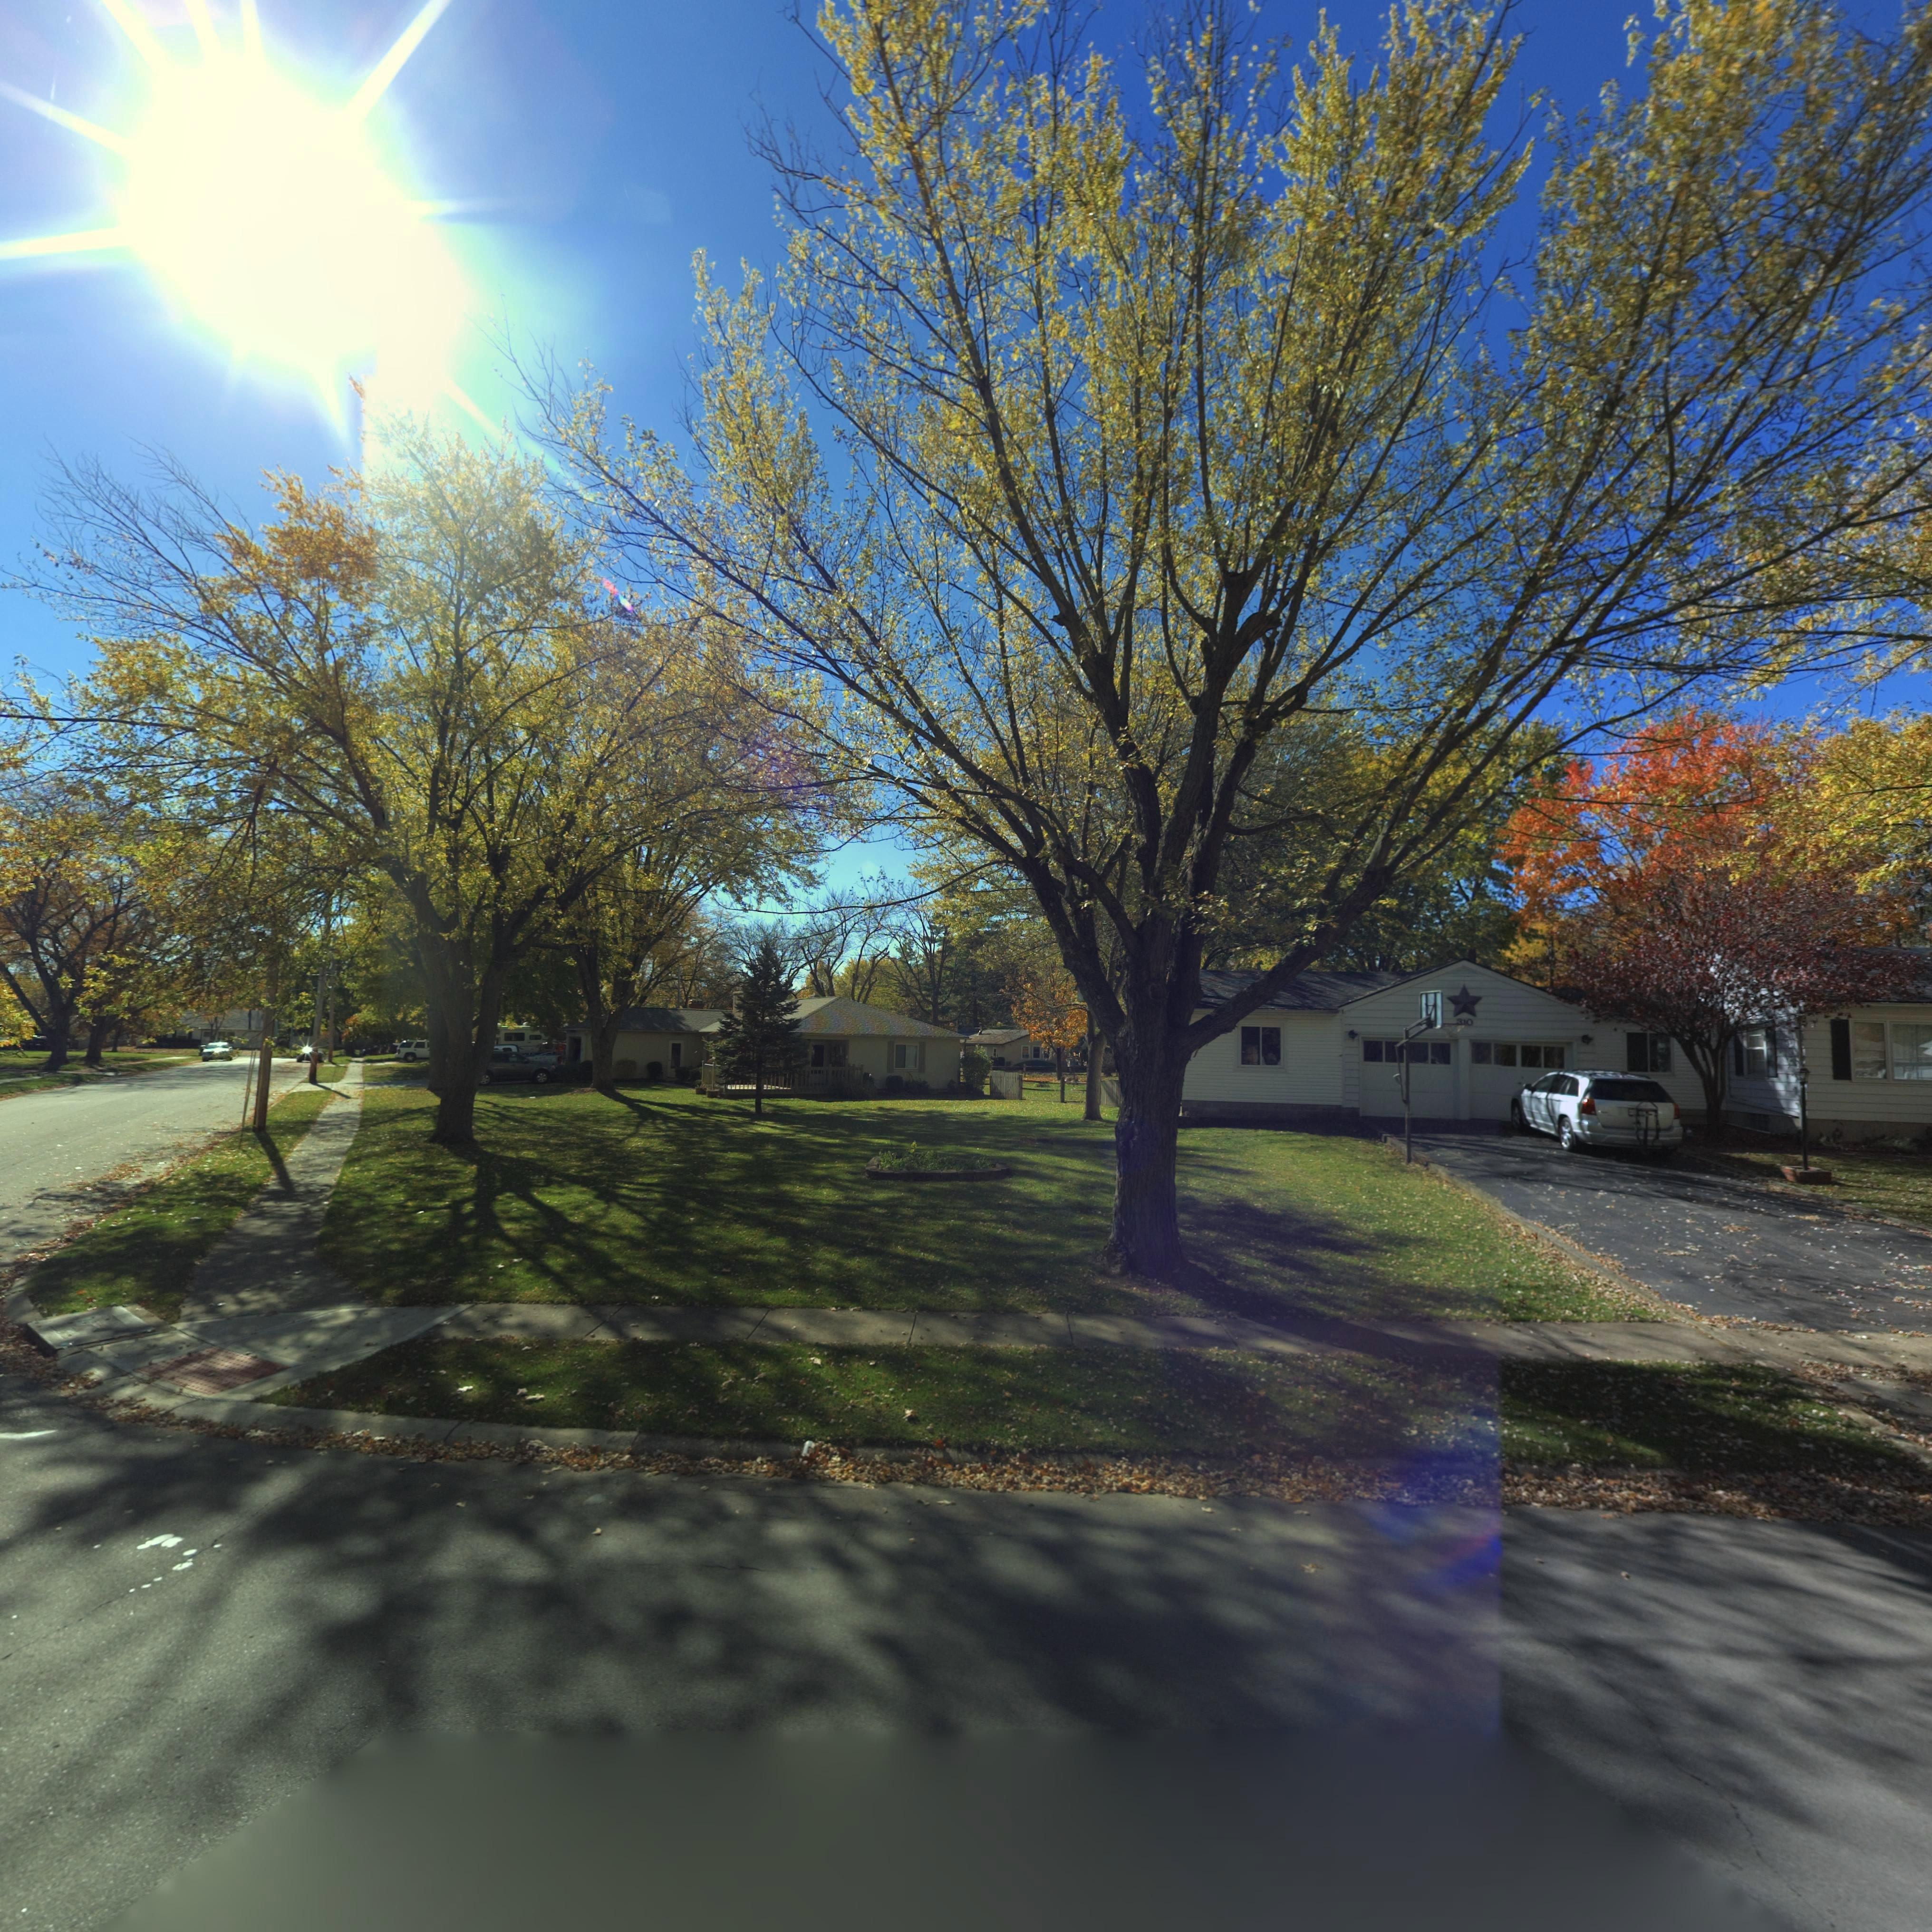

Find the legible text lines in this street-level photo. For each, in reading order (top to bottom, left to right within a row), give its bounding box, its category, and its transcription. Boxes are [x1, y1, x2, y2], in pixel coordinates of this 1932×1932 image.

[1456, 1017, 1474, 1026] StreetNumber: 310